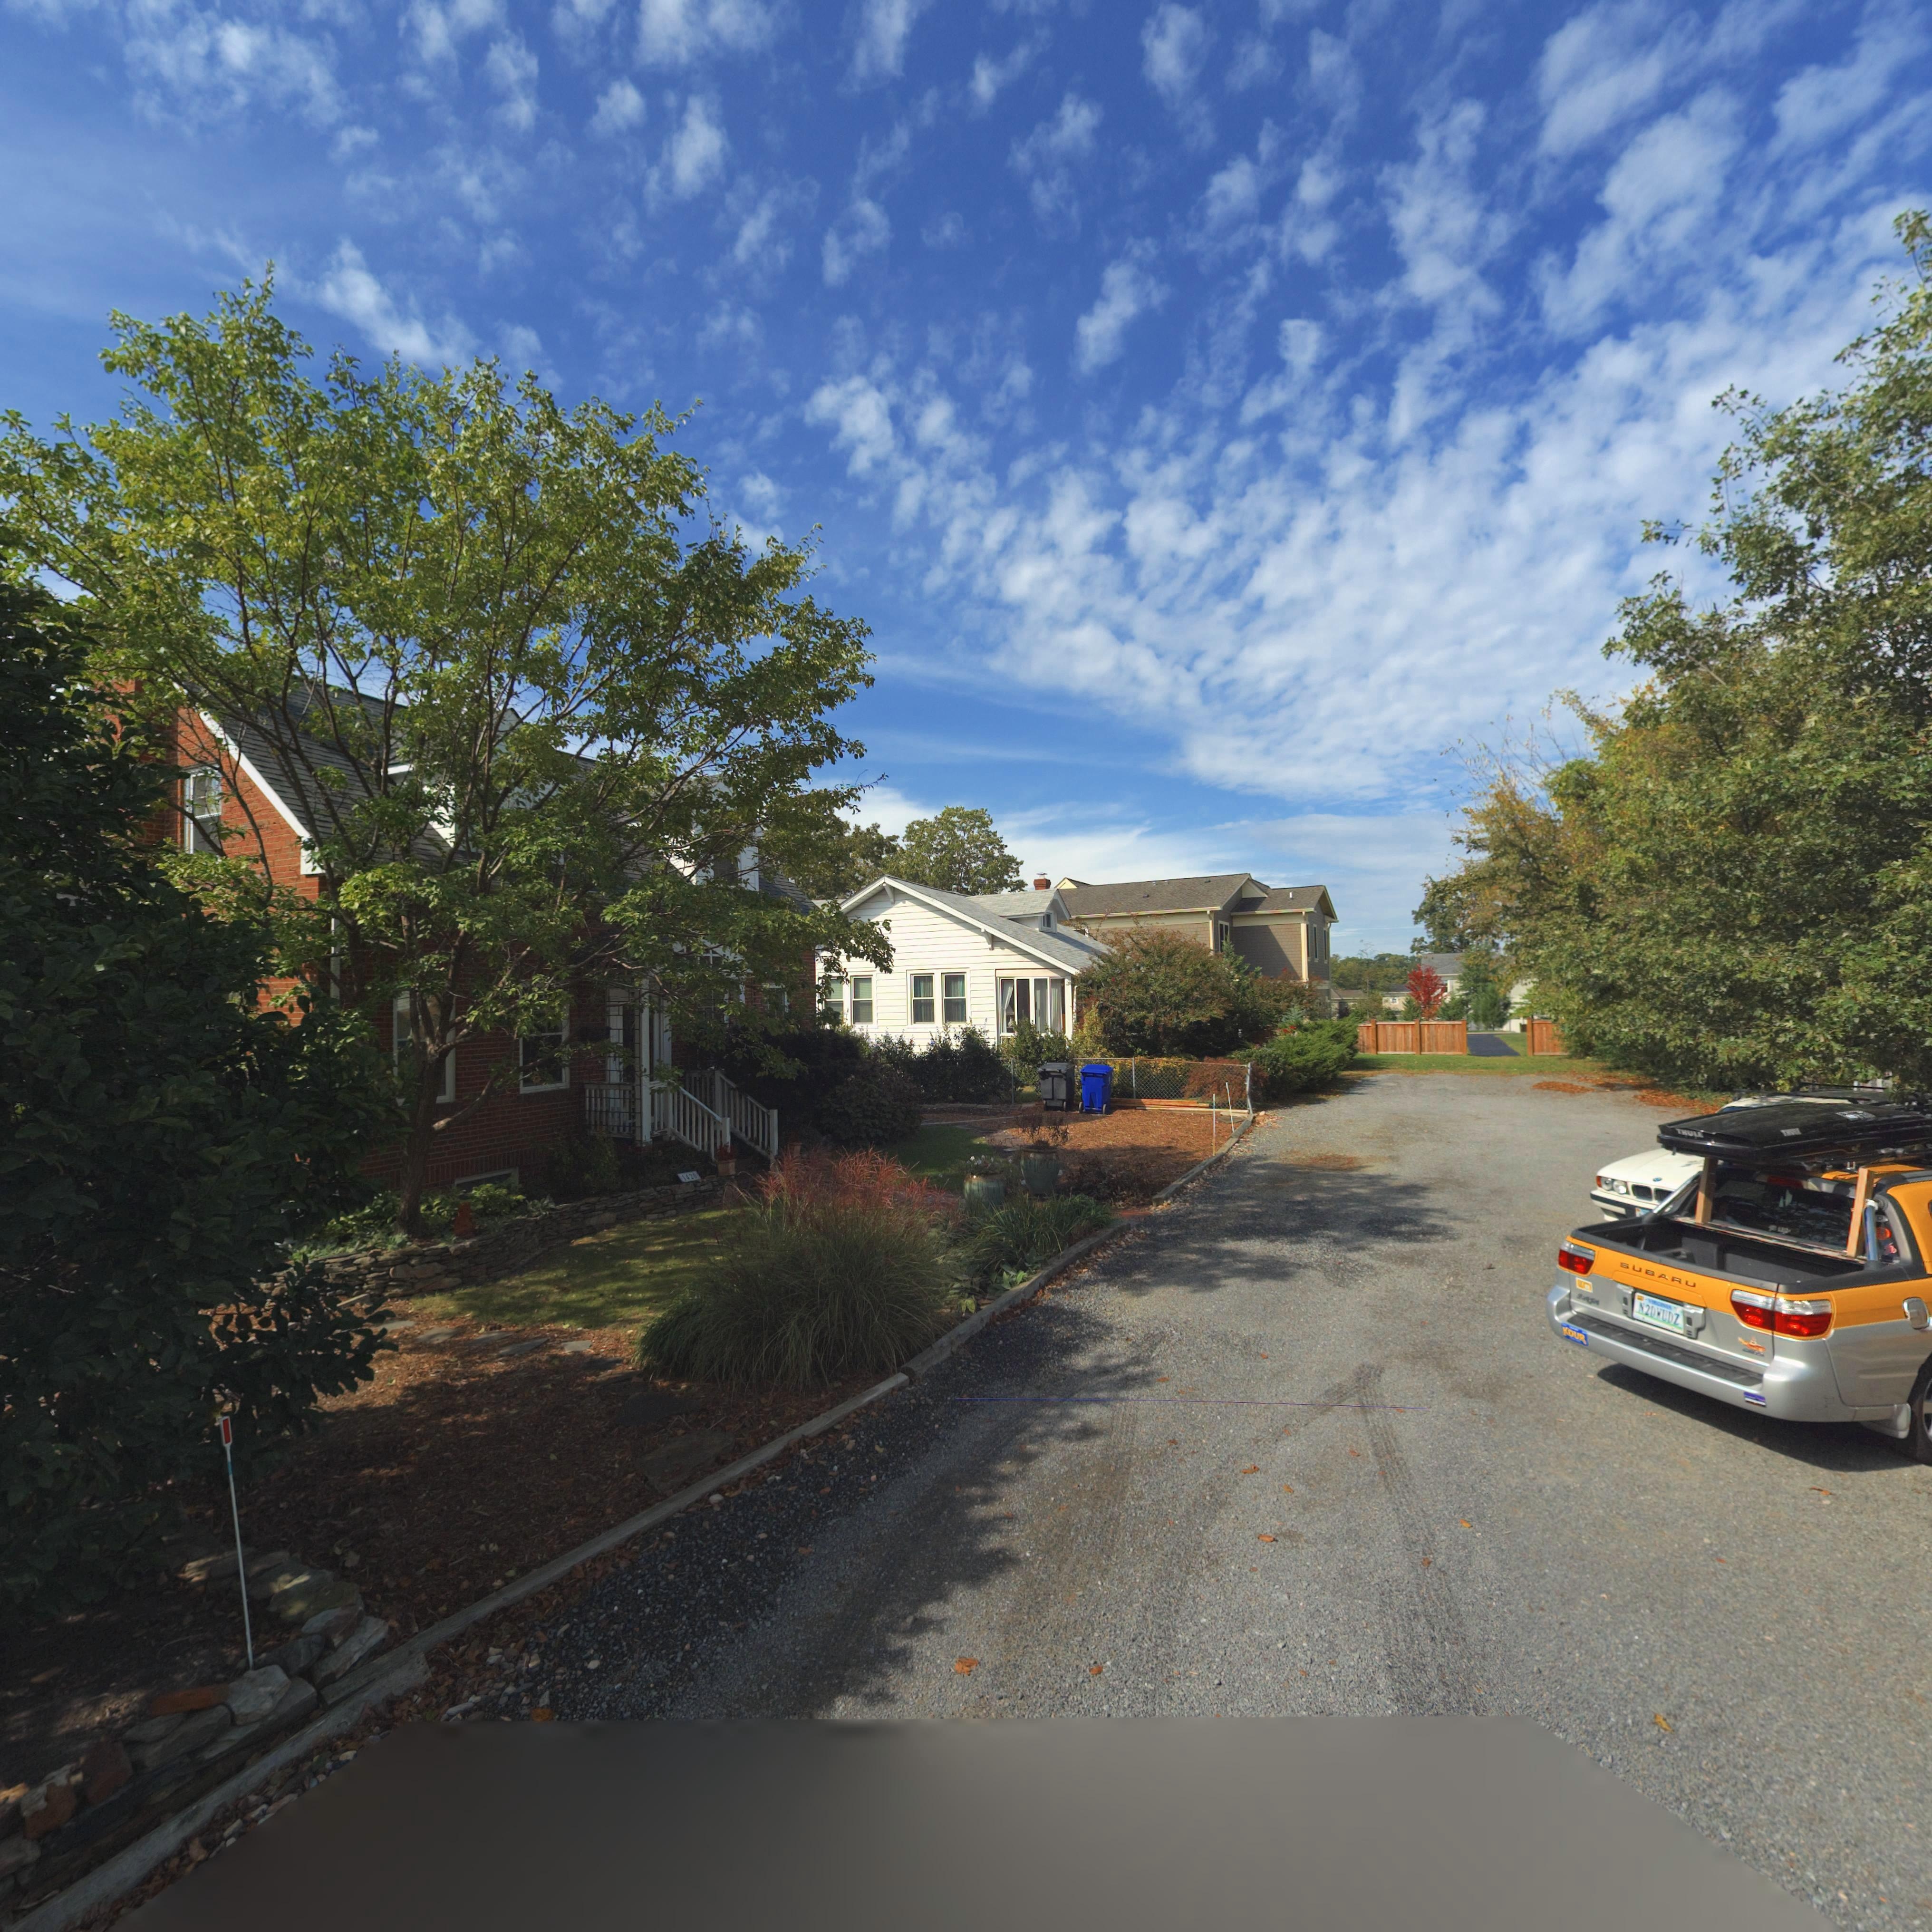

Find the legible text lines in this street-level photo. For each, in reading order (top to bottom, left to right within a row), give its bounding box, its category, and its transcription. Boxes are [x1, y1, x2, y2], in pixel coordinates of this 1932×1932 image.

[1674, 1127, 1705, 1140] None: THULE
[680, 1171, 698, 1182] StreetNumber: 1420
[1619, 1260, 1698, 1290] None: SUBARU
[1637, 1300, 1681, 1327] None: N2D*UDZ
[1561, 1324, 1588, 1345] None: KDUR